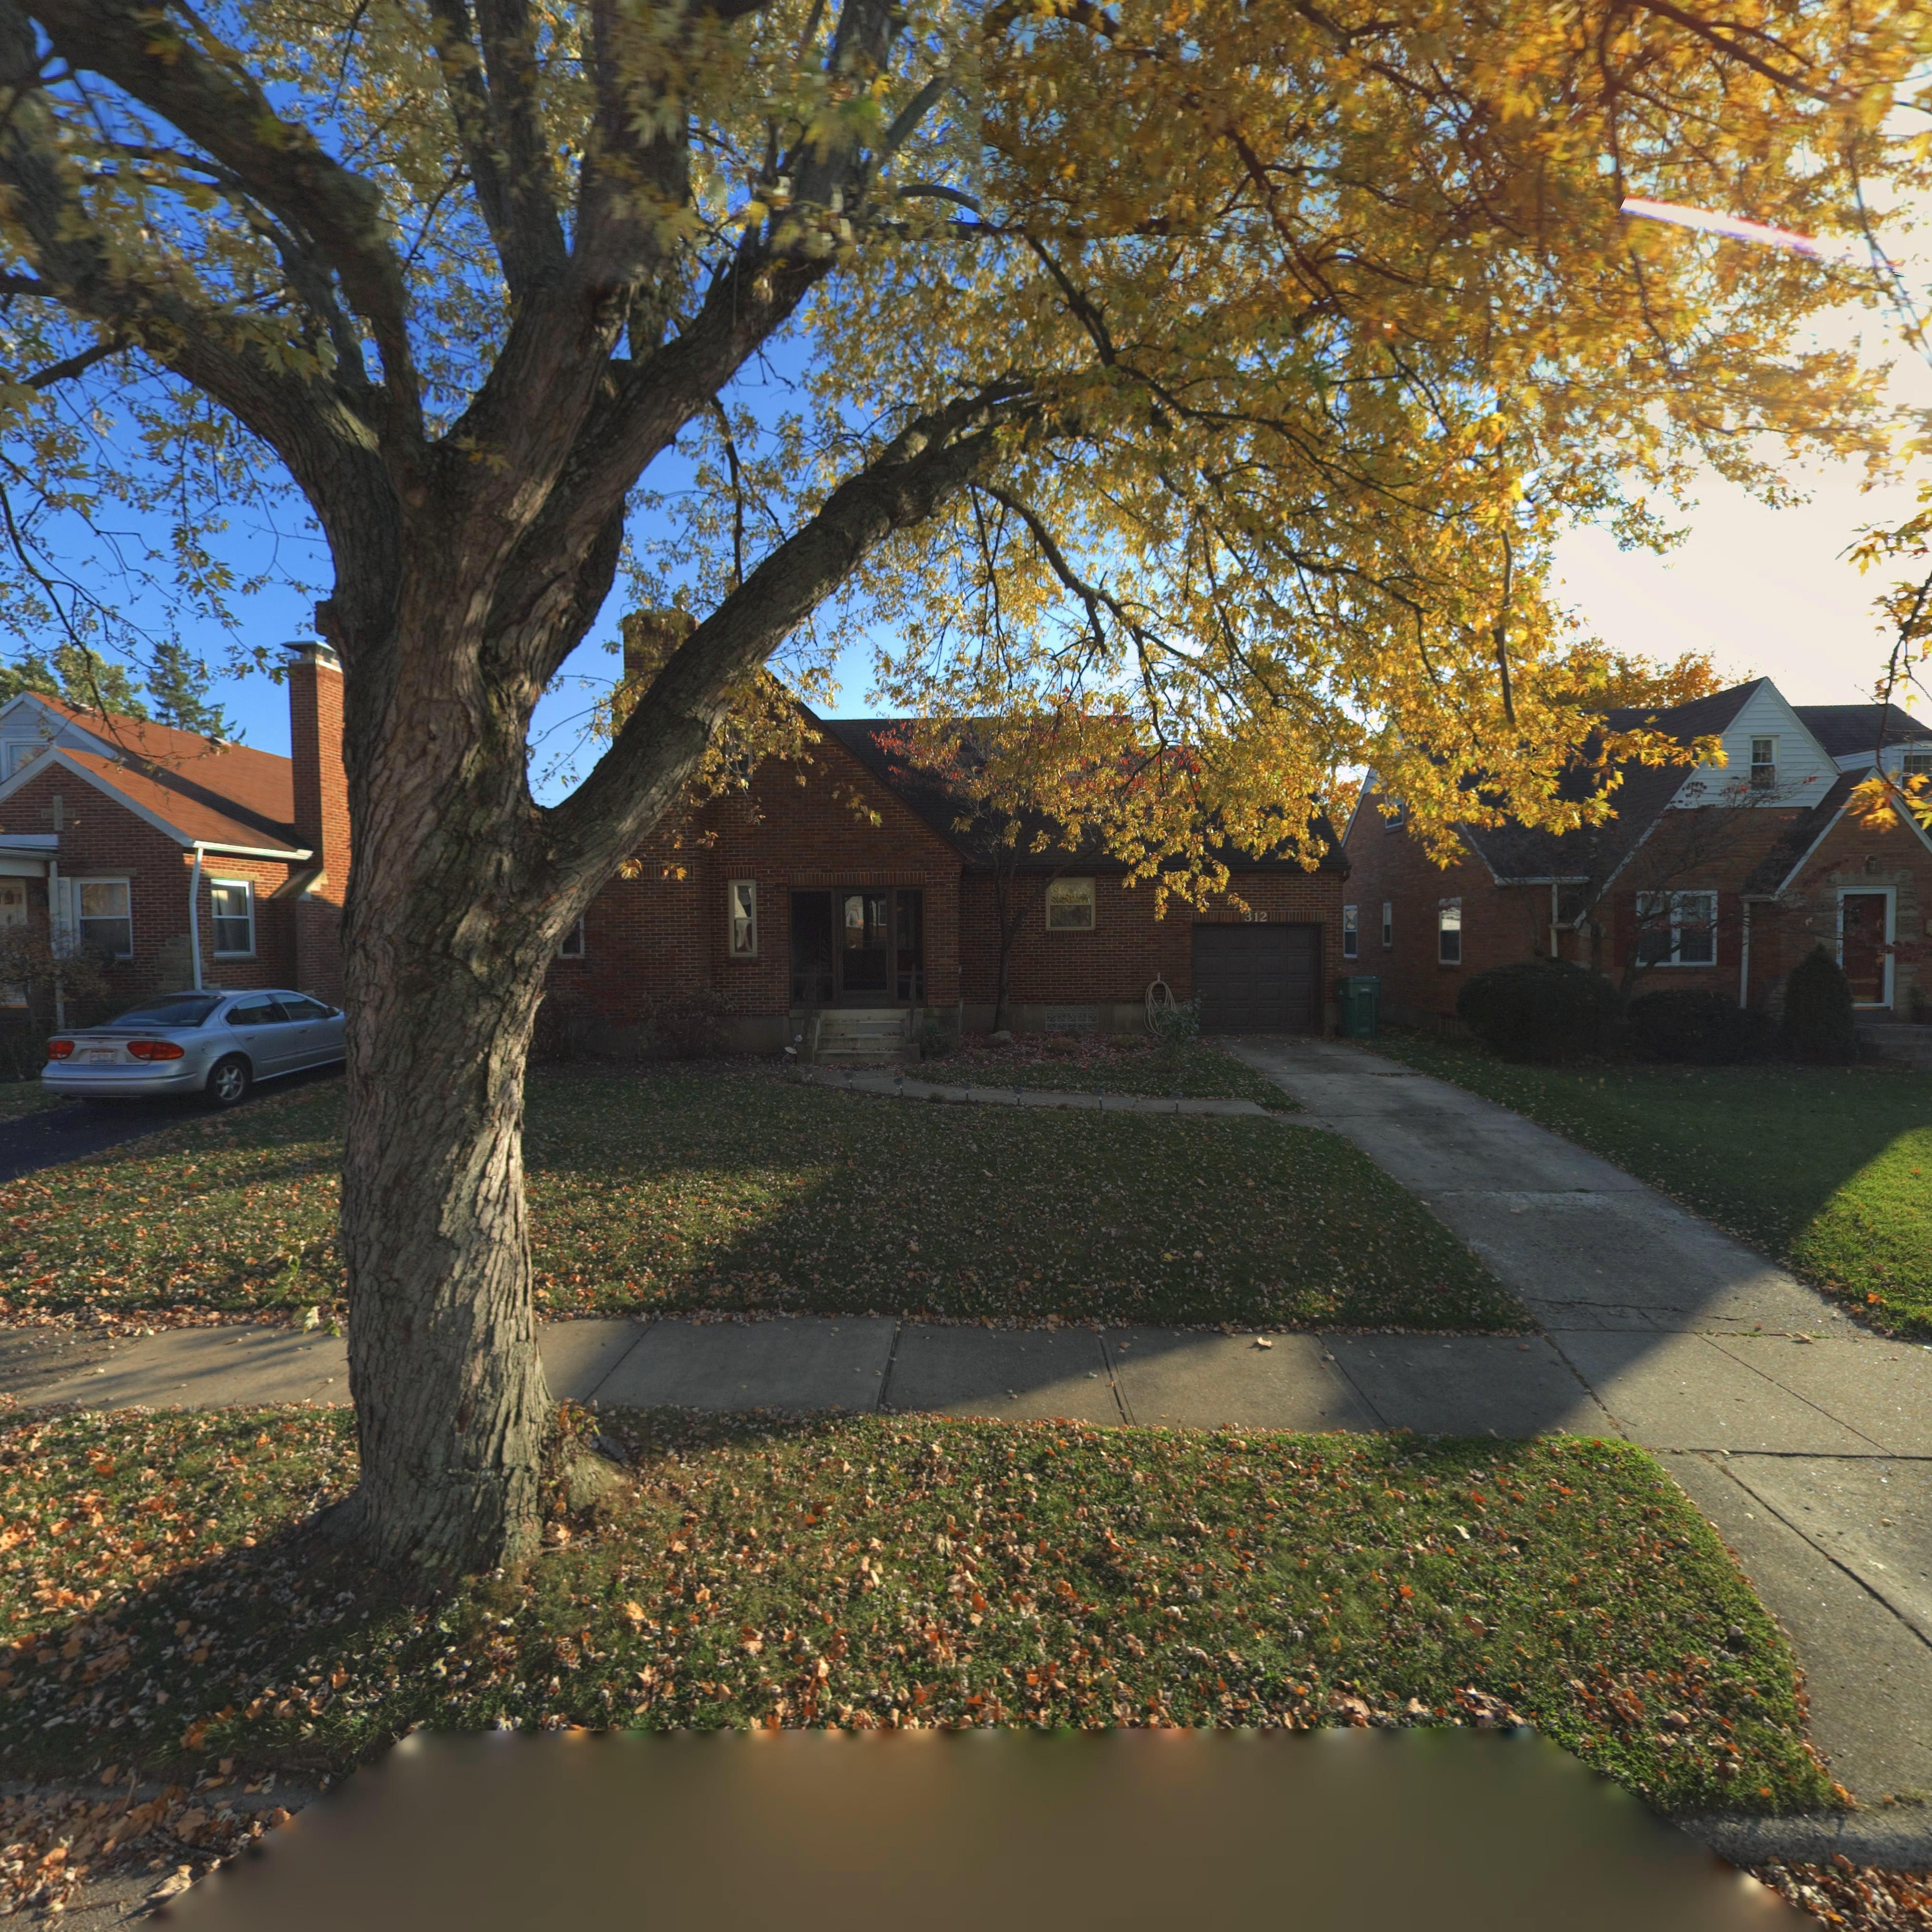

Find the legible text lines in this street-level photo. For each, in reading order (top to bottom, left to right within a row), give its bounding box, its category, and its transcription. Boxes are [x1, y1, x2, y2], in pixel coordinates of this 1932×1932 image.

[1244, 911, 1267, 922] StreetNumber: 312